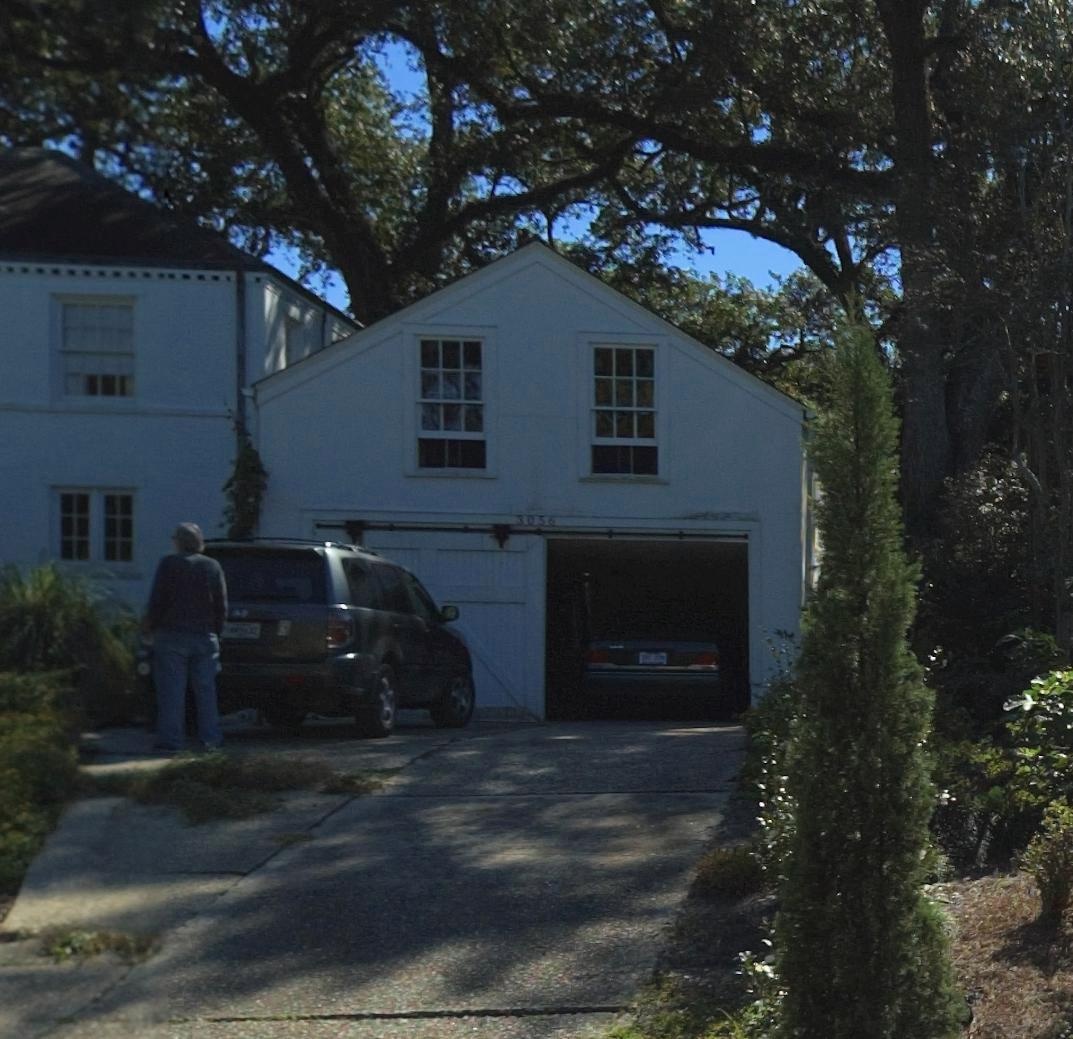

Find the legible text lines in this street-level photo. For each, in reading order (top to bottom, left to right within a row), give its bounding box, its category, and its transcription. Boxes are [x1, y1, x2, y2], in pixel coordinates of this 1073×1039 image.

[514, 512, 558, 528] StreetNumber: 3056